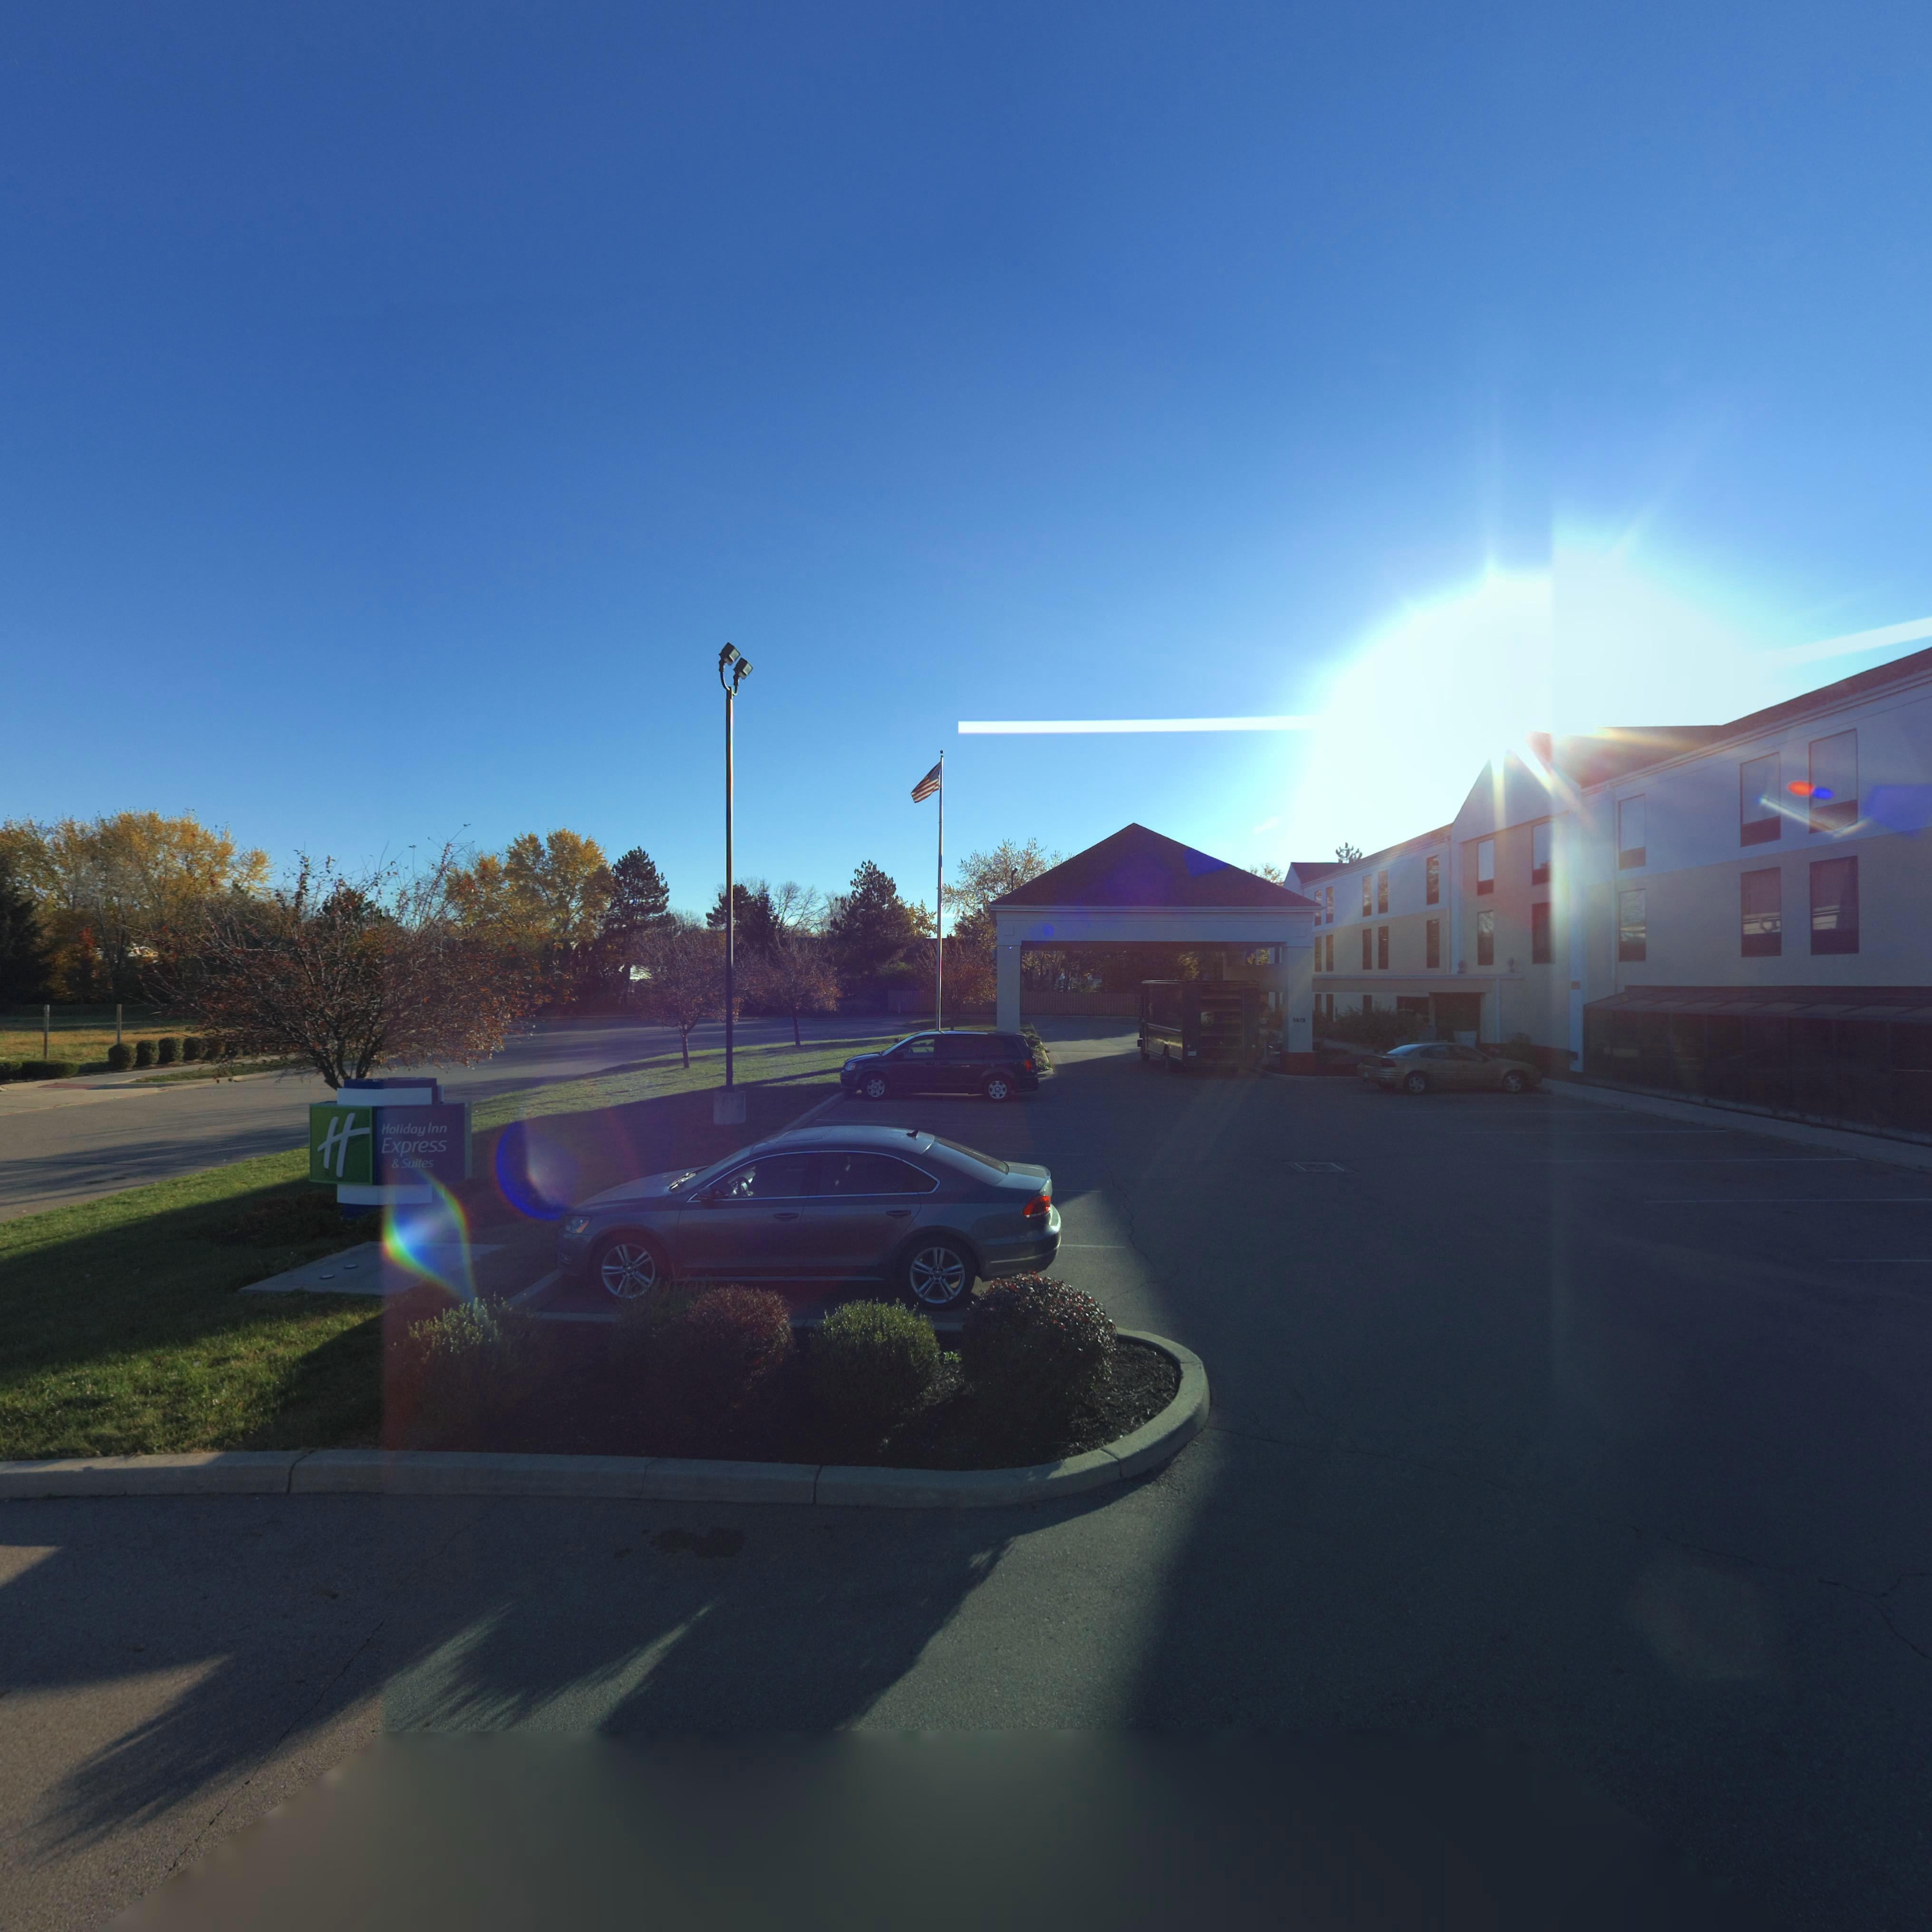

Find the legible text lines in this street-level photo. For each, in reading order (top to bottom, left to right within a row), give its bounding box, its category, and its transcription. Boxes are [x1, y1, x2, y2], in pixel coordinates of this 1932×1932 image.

[1292, 1017, 1307, 1024] StreetNumber: 5*12
[379, 1121, 448, 1138] BusinessName: Holiday Inn
[380, 1137, 448, 1158] BusinessName: Express
[390, 1157, 435, 1169] BusinessName: & Suites